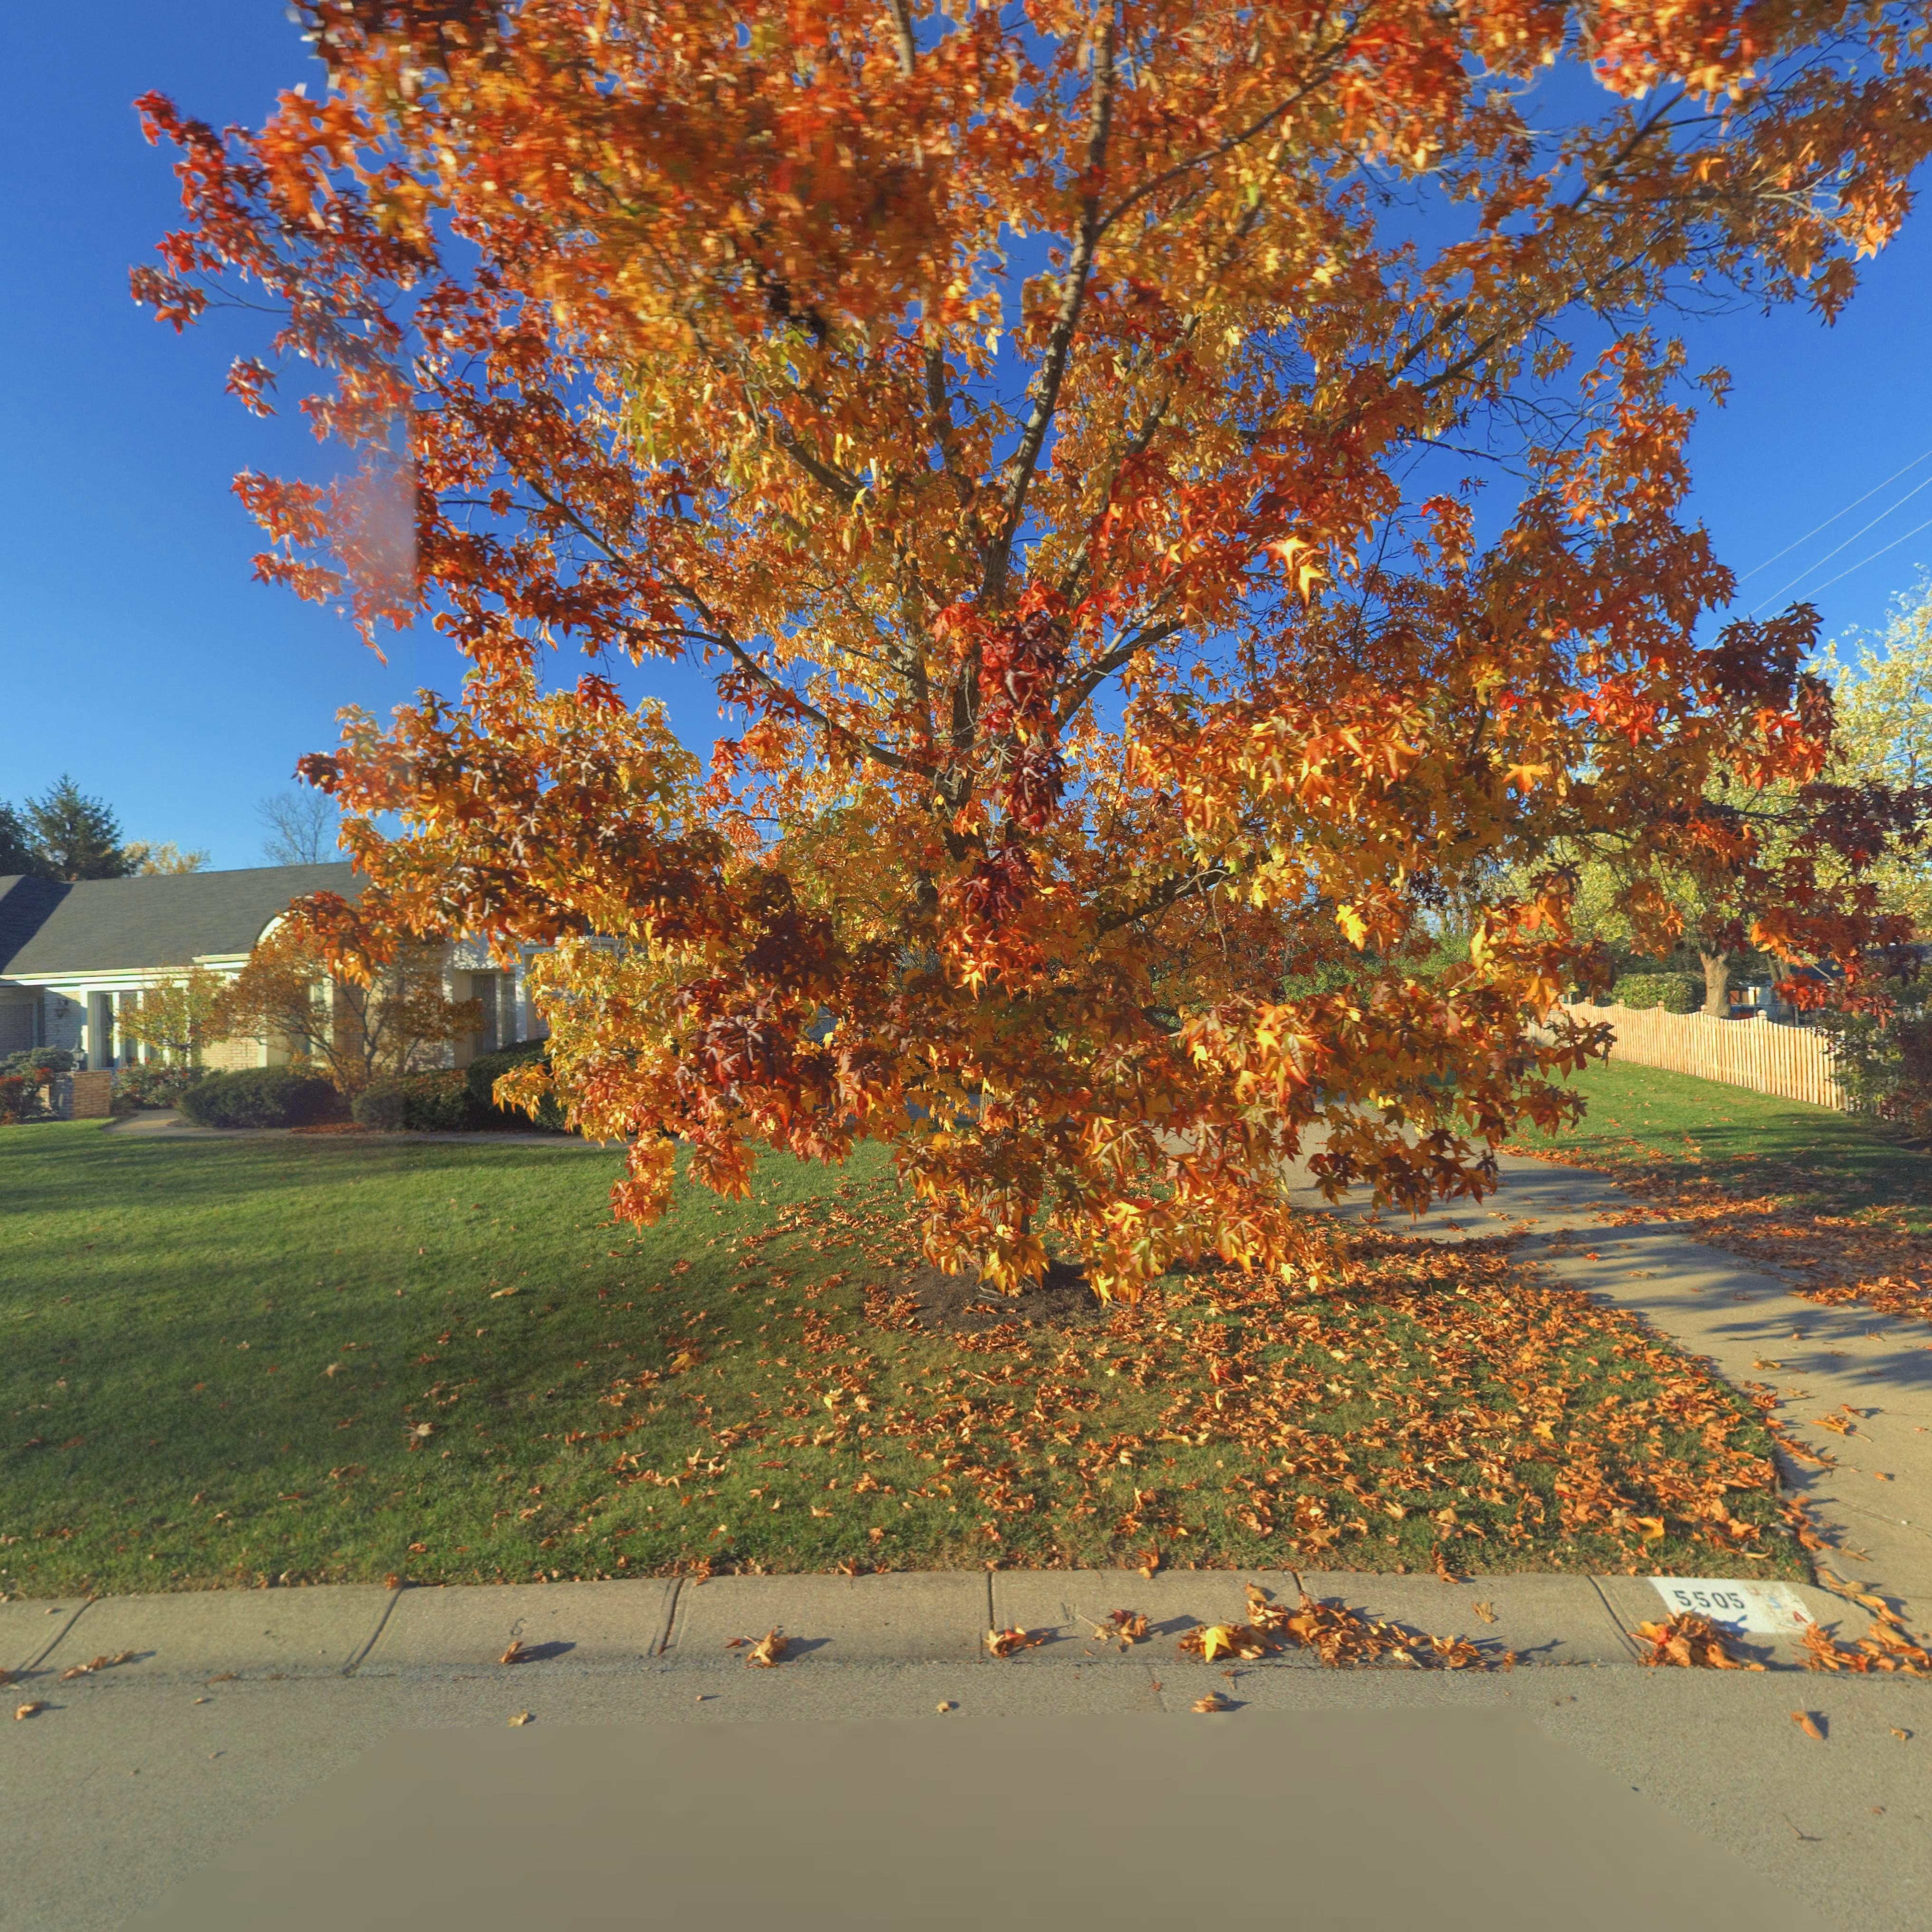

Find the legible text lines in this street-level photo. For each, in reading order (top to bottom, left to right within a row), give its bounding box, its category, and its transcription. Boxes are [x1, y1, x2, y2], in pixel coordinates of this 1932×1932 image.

[1670, 1588, 1747, 1610] StreetNumber: 5505